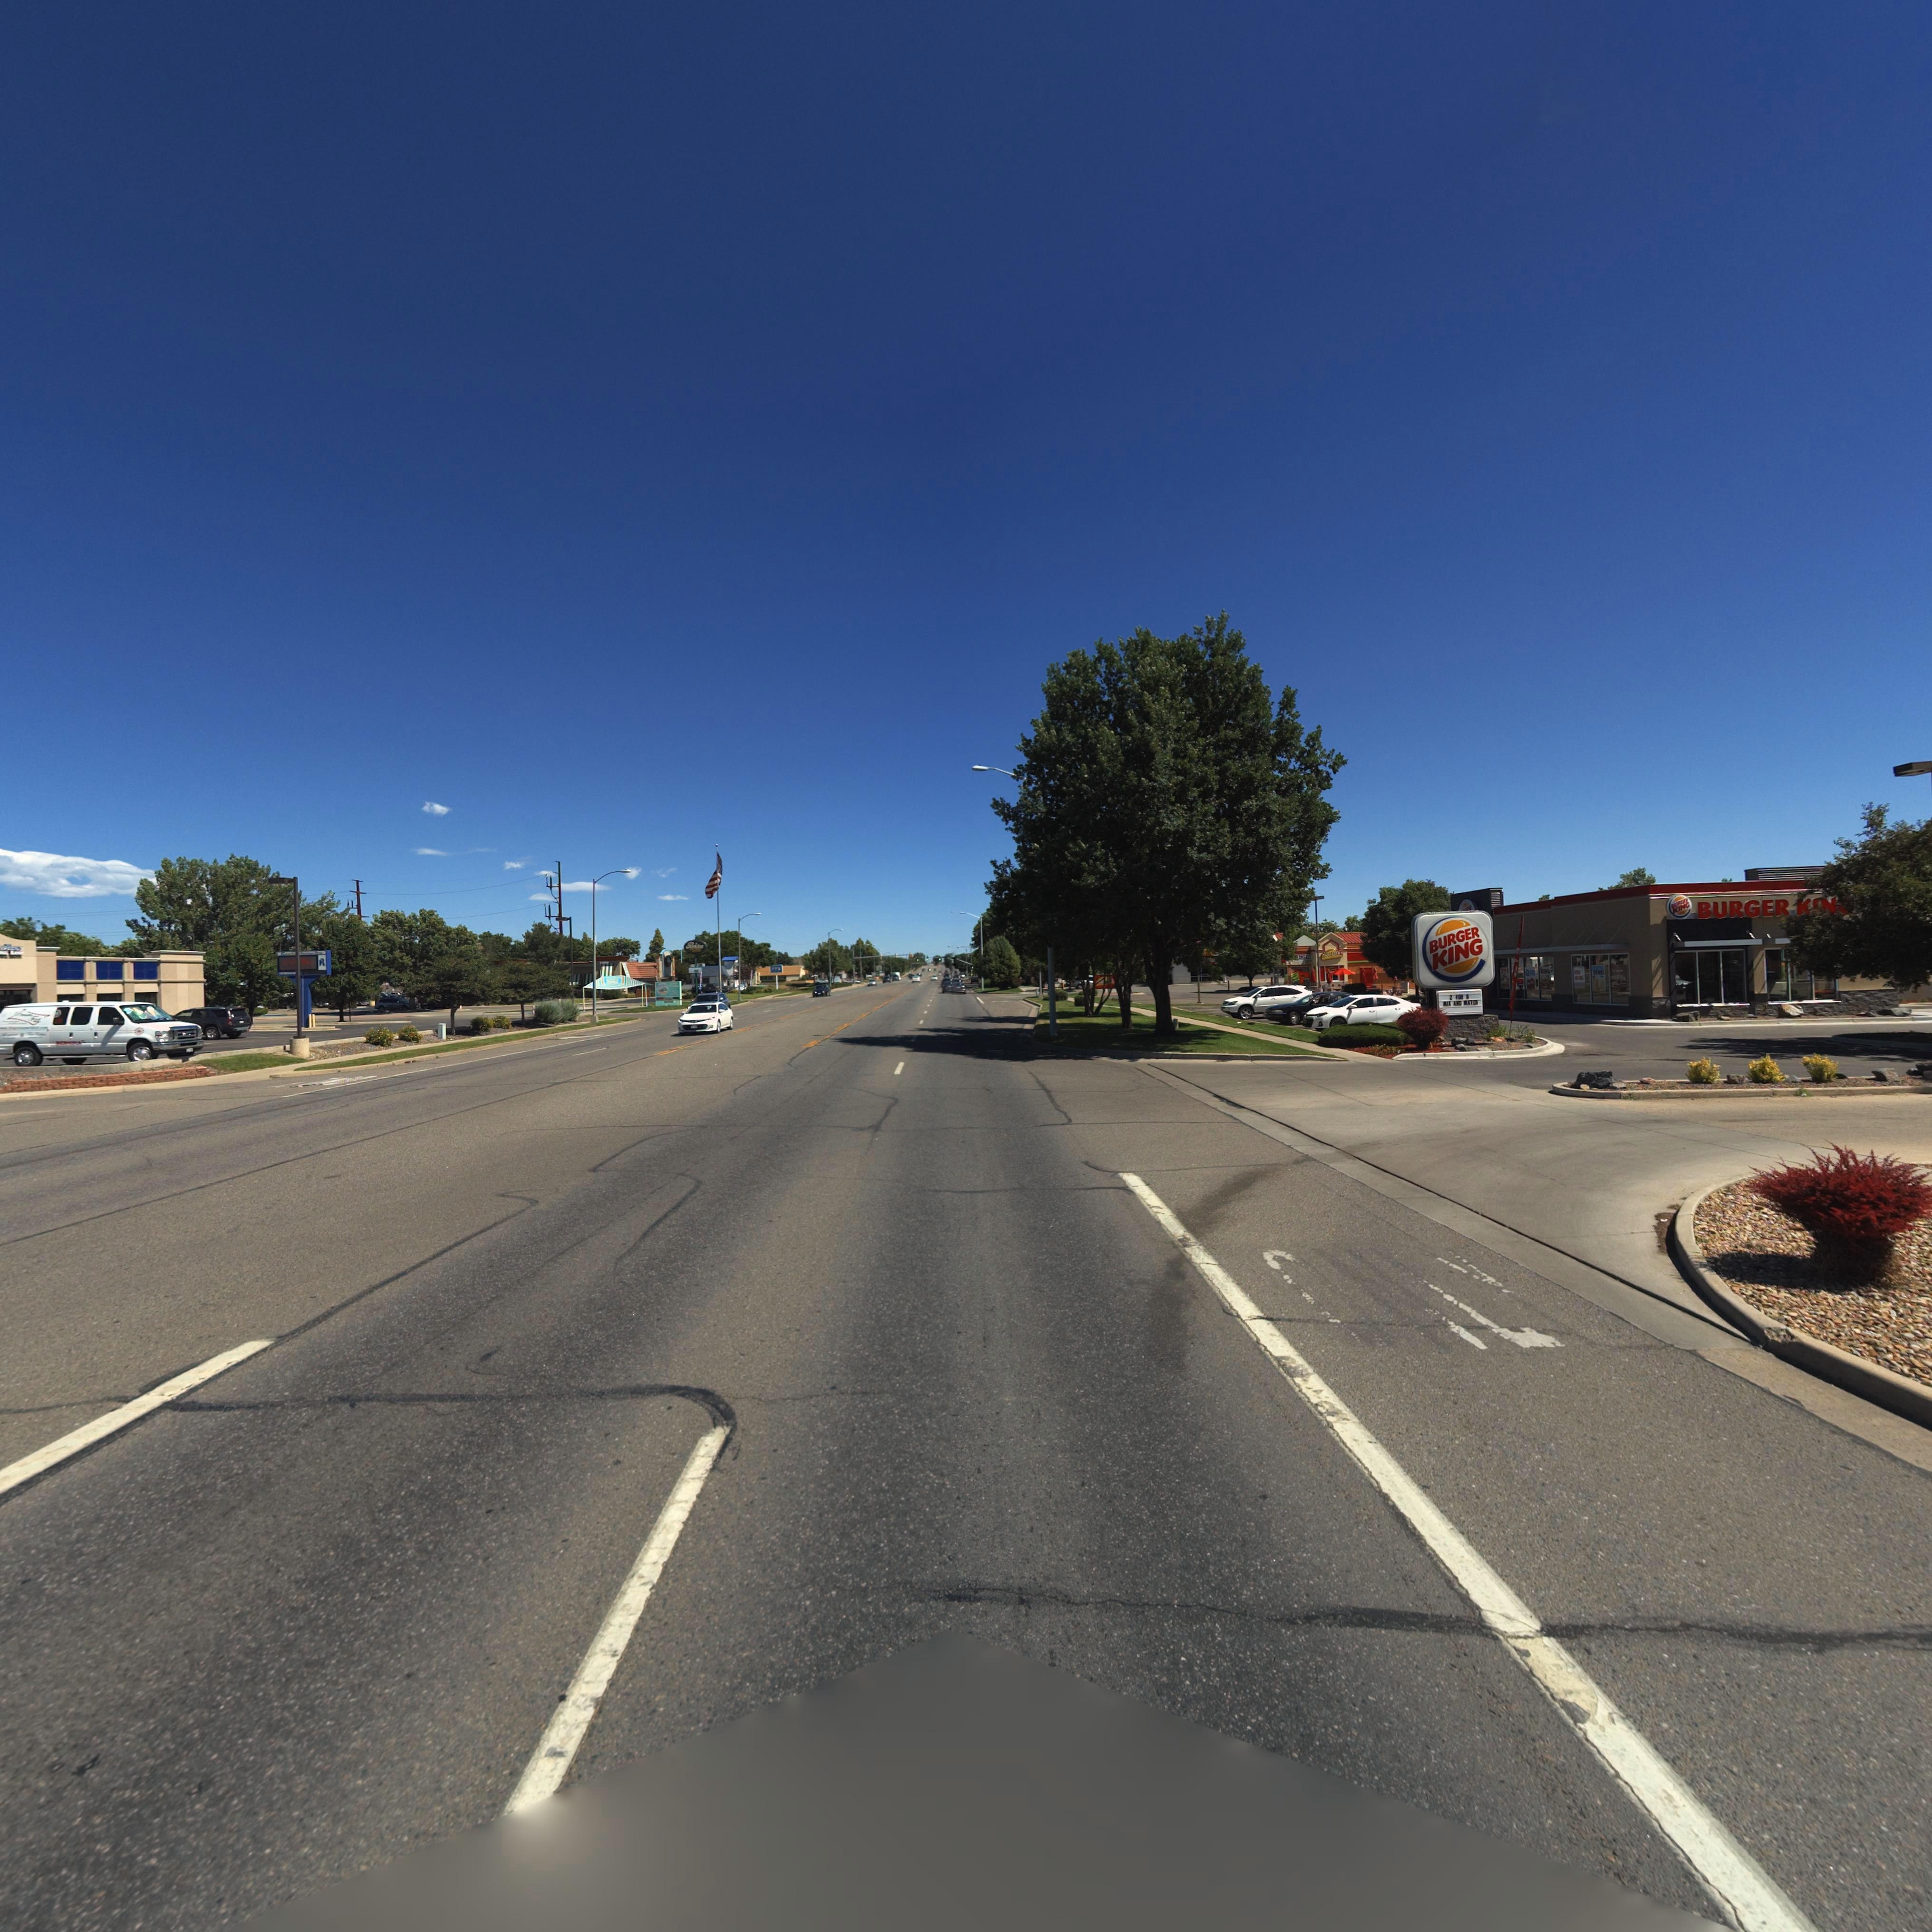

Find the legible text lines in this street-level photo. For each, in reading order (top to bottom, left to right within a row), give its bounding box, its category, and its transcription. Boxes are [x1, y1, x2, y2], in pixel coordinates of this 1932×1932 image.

[1671, 897, 1688, 909] BusinessName: BURGER
[1672, 901, 1690, 914] BusinessName: KING
[1697, 898, 1790, 919] BusinessName: BURGER
[685, 942, 704, 949] BusinessName: Perkins
[1428, 926, 1480, 954] BusinessName: BURGER
[1322, 950, 1341, 958] BusinessName: TACO STAR
[1431, 937, 1483, 971] BusinessName: KING